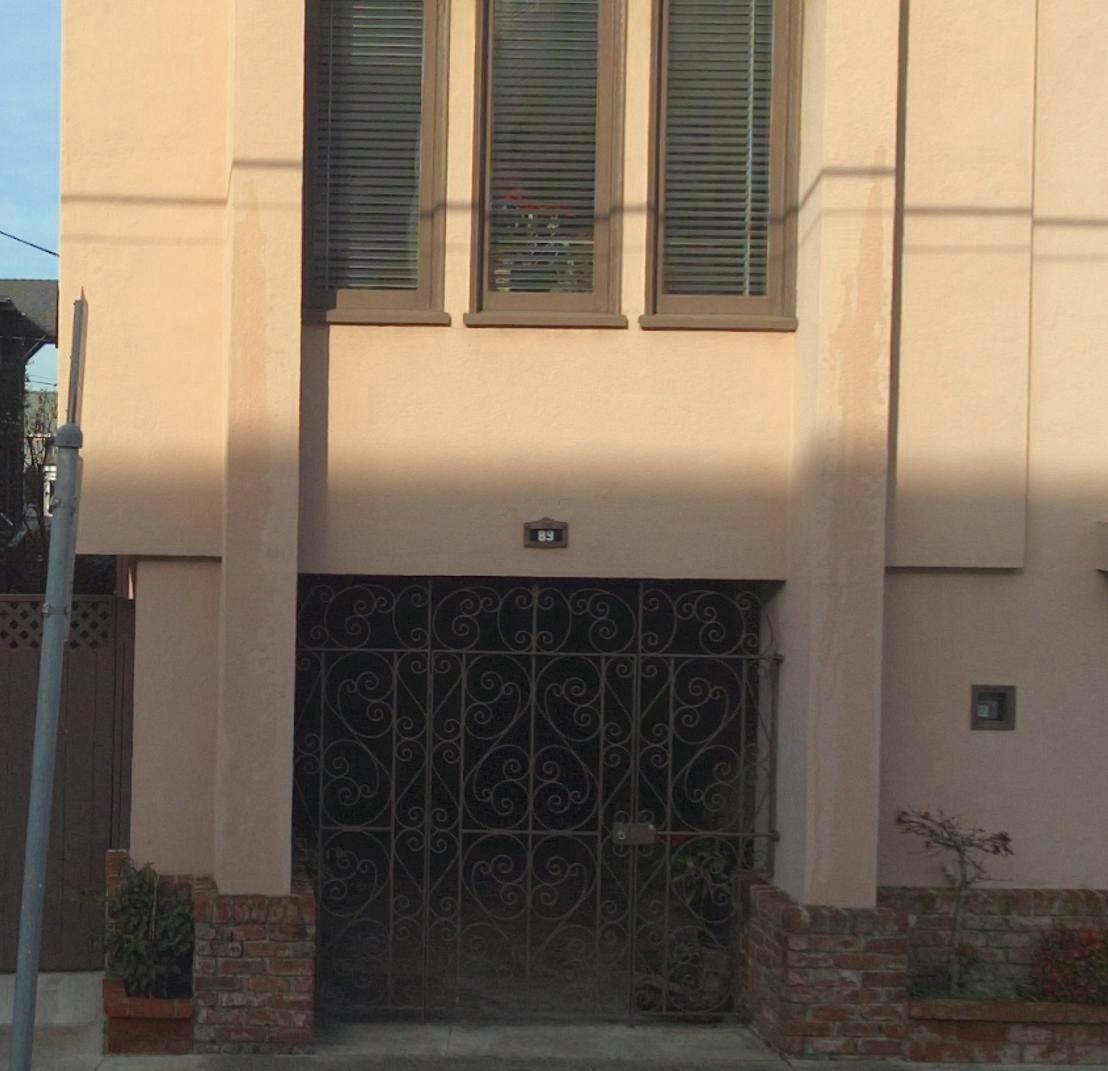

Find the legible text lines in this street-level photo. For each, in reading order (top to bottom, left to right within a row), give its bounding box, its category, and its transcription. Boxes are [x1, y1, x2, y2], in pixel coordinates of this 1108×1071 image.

[535, 528, 556, 544] StreetNumber: 89